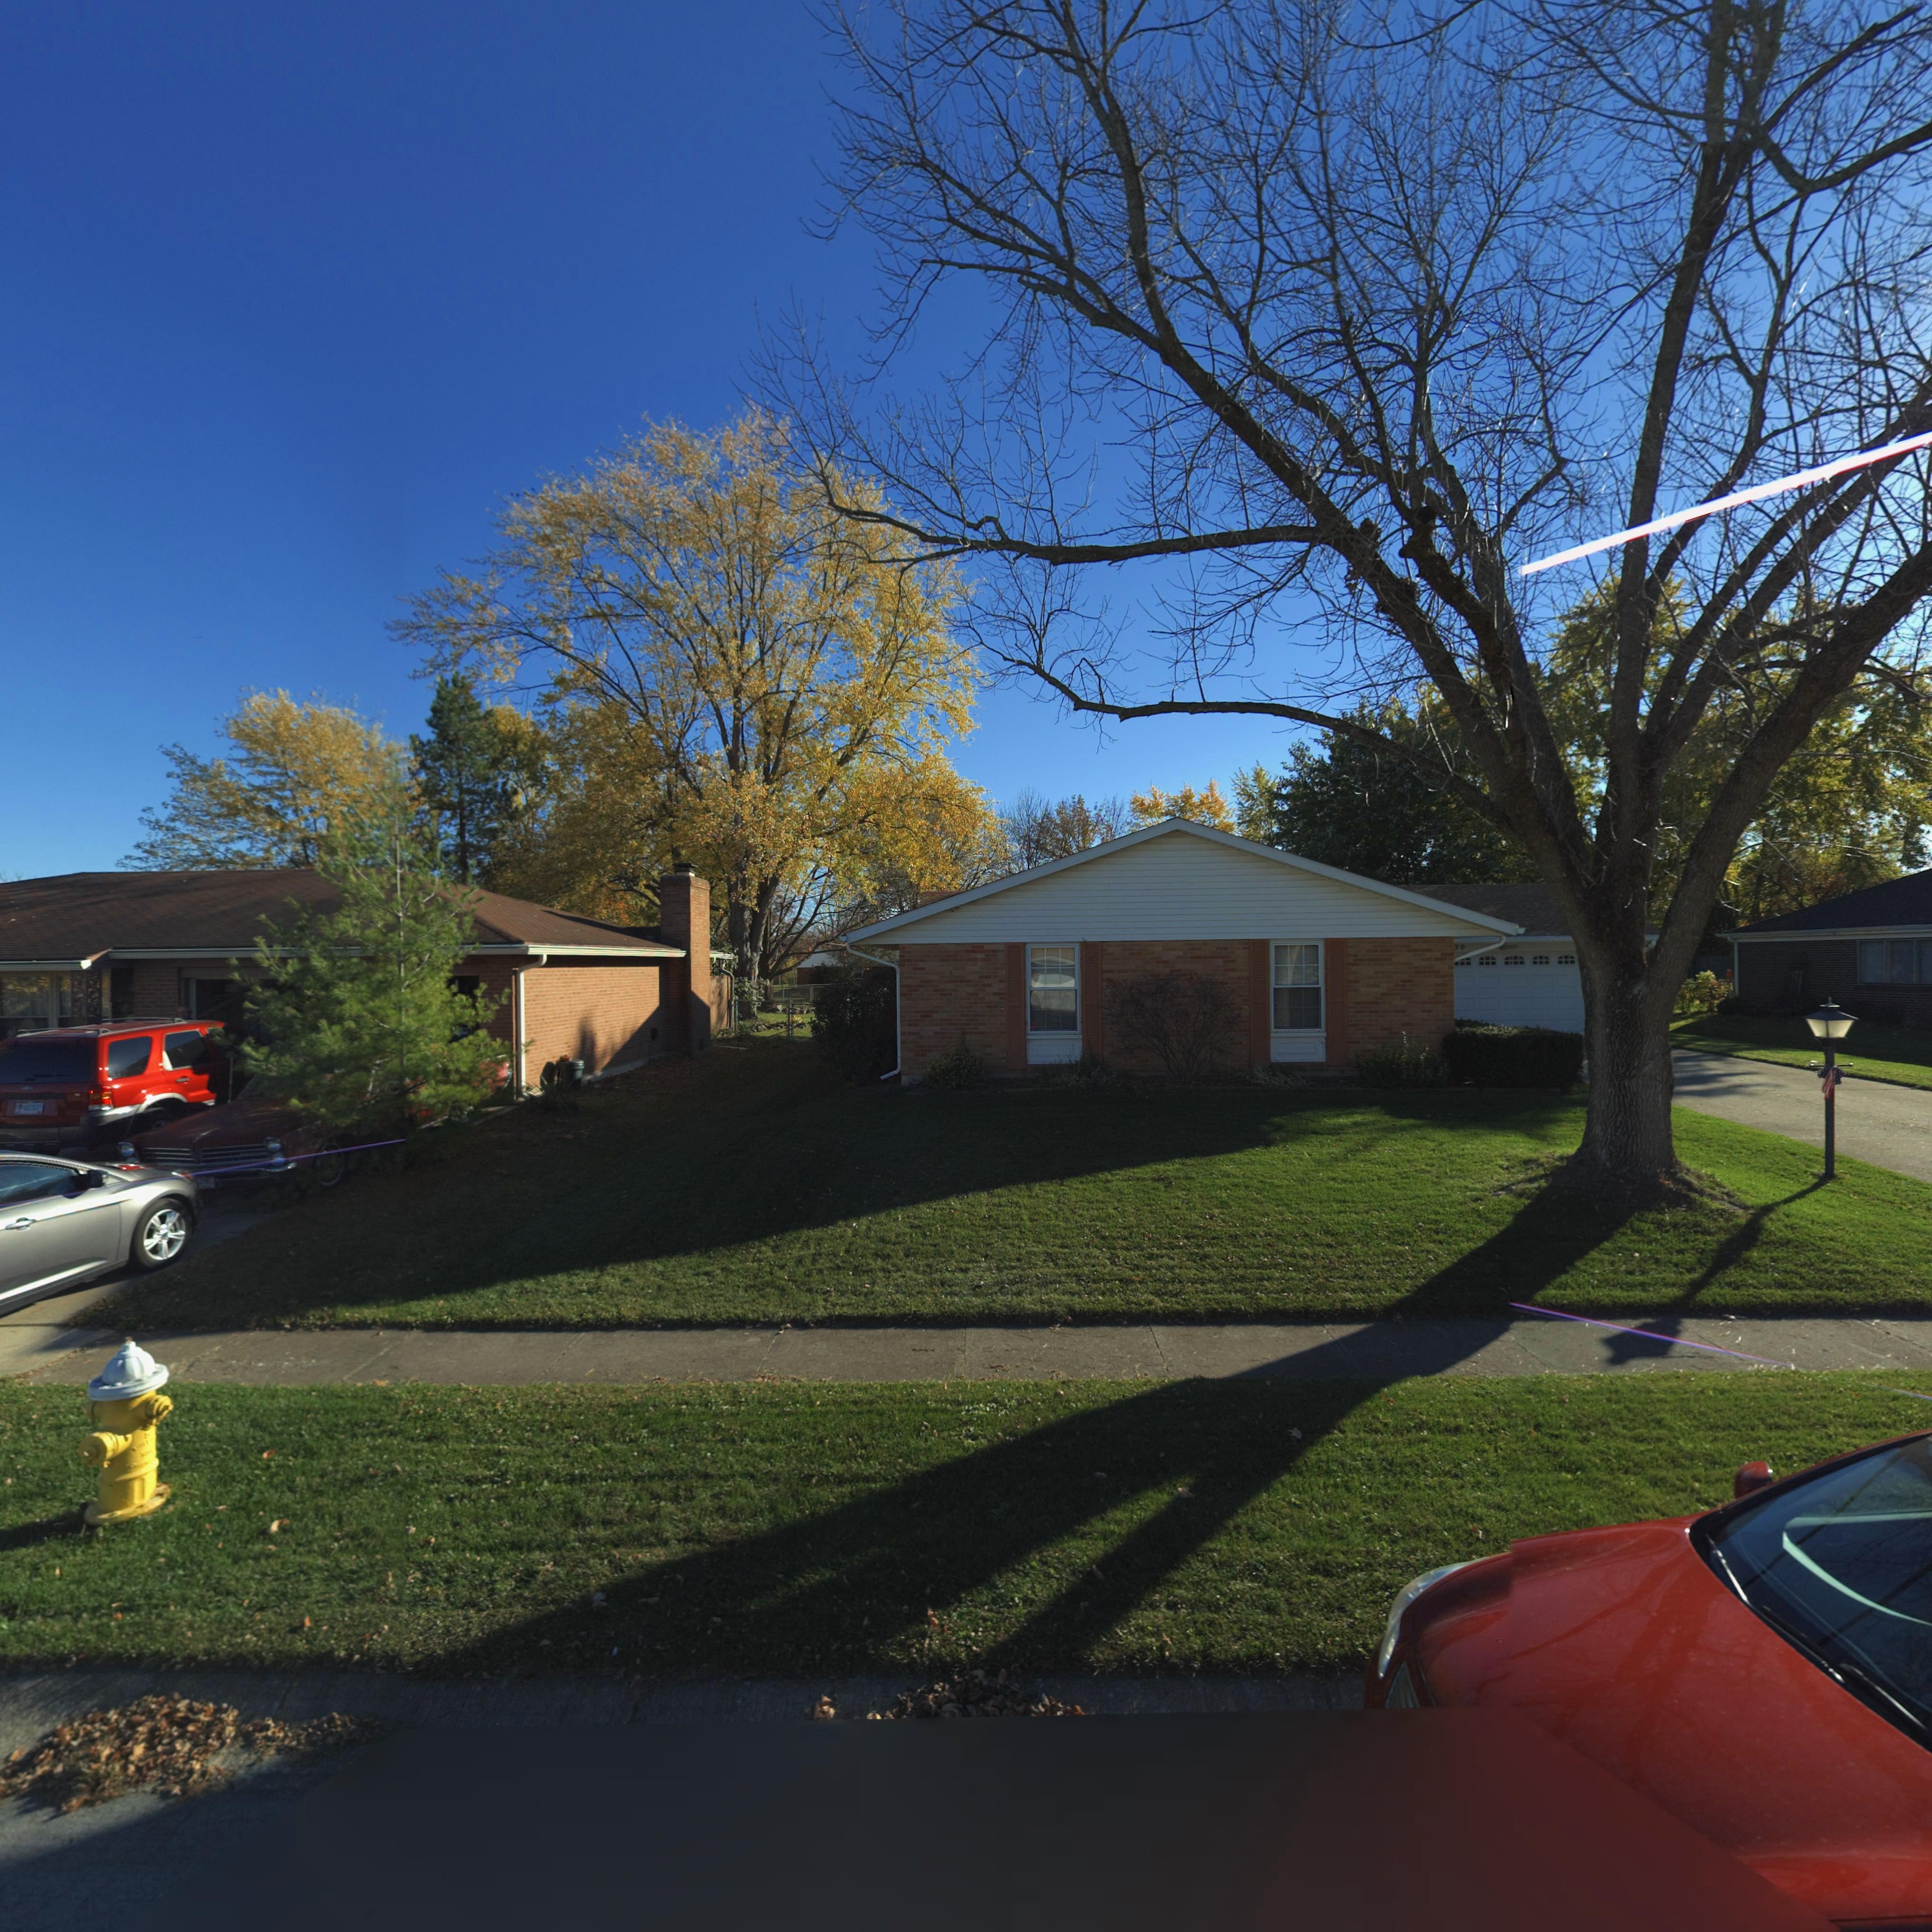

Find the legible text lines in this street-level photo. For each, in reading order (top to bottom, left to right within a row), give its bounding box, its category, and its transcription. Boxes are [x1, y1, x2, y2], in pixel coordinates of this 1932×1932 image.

[1453, 943, 1466, 951] StreetNumber: 50